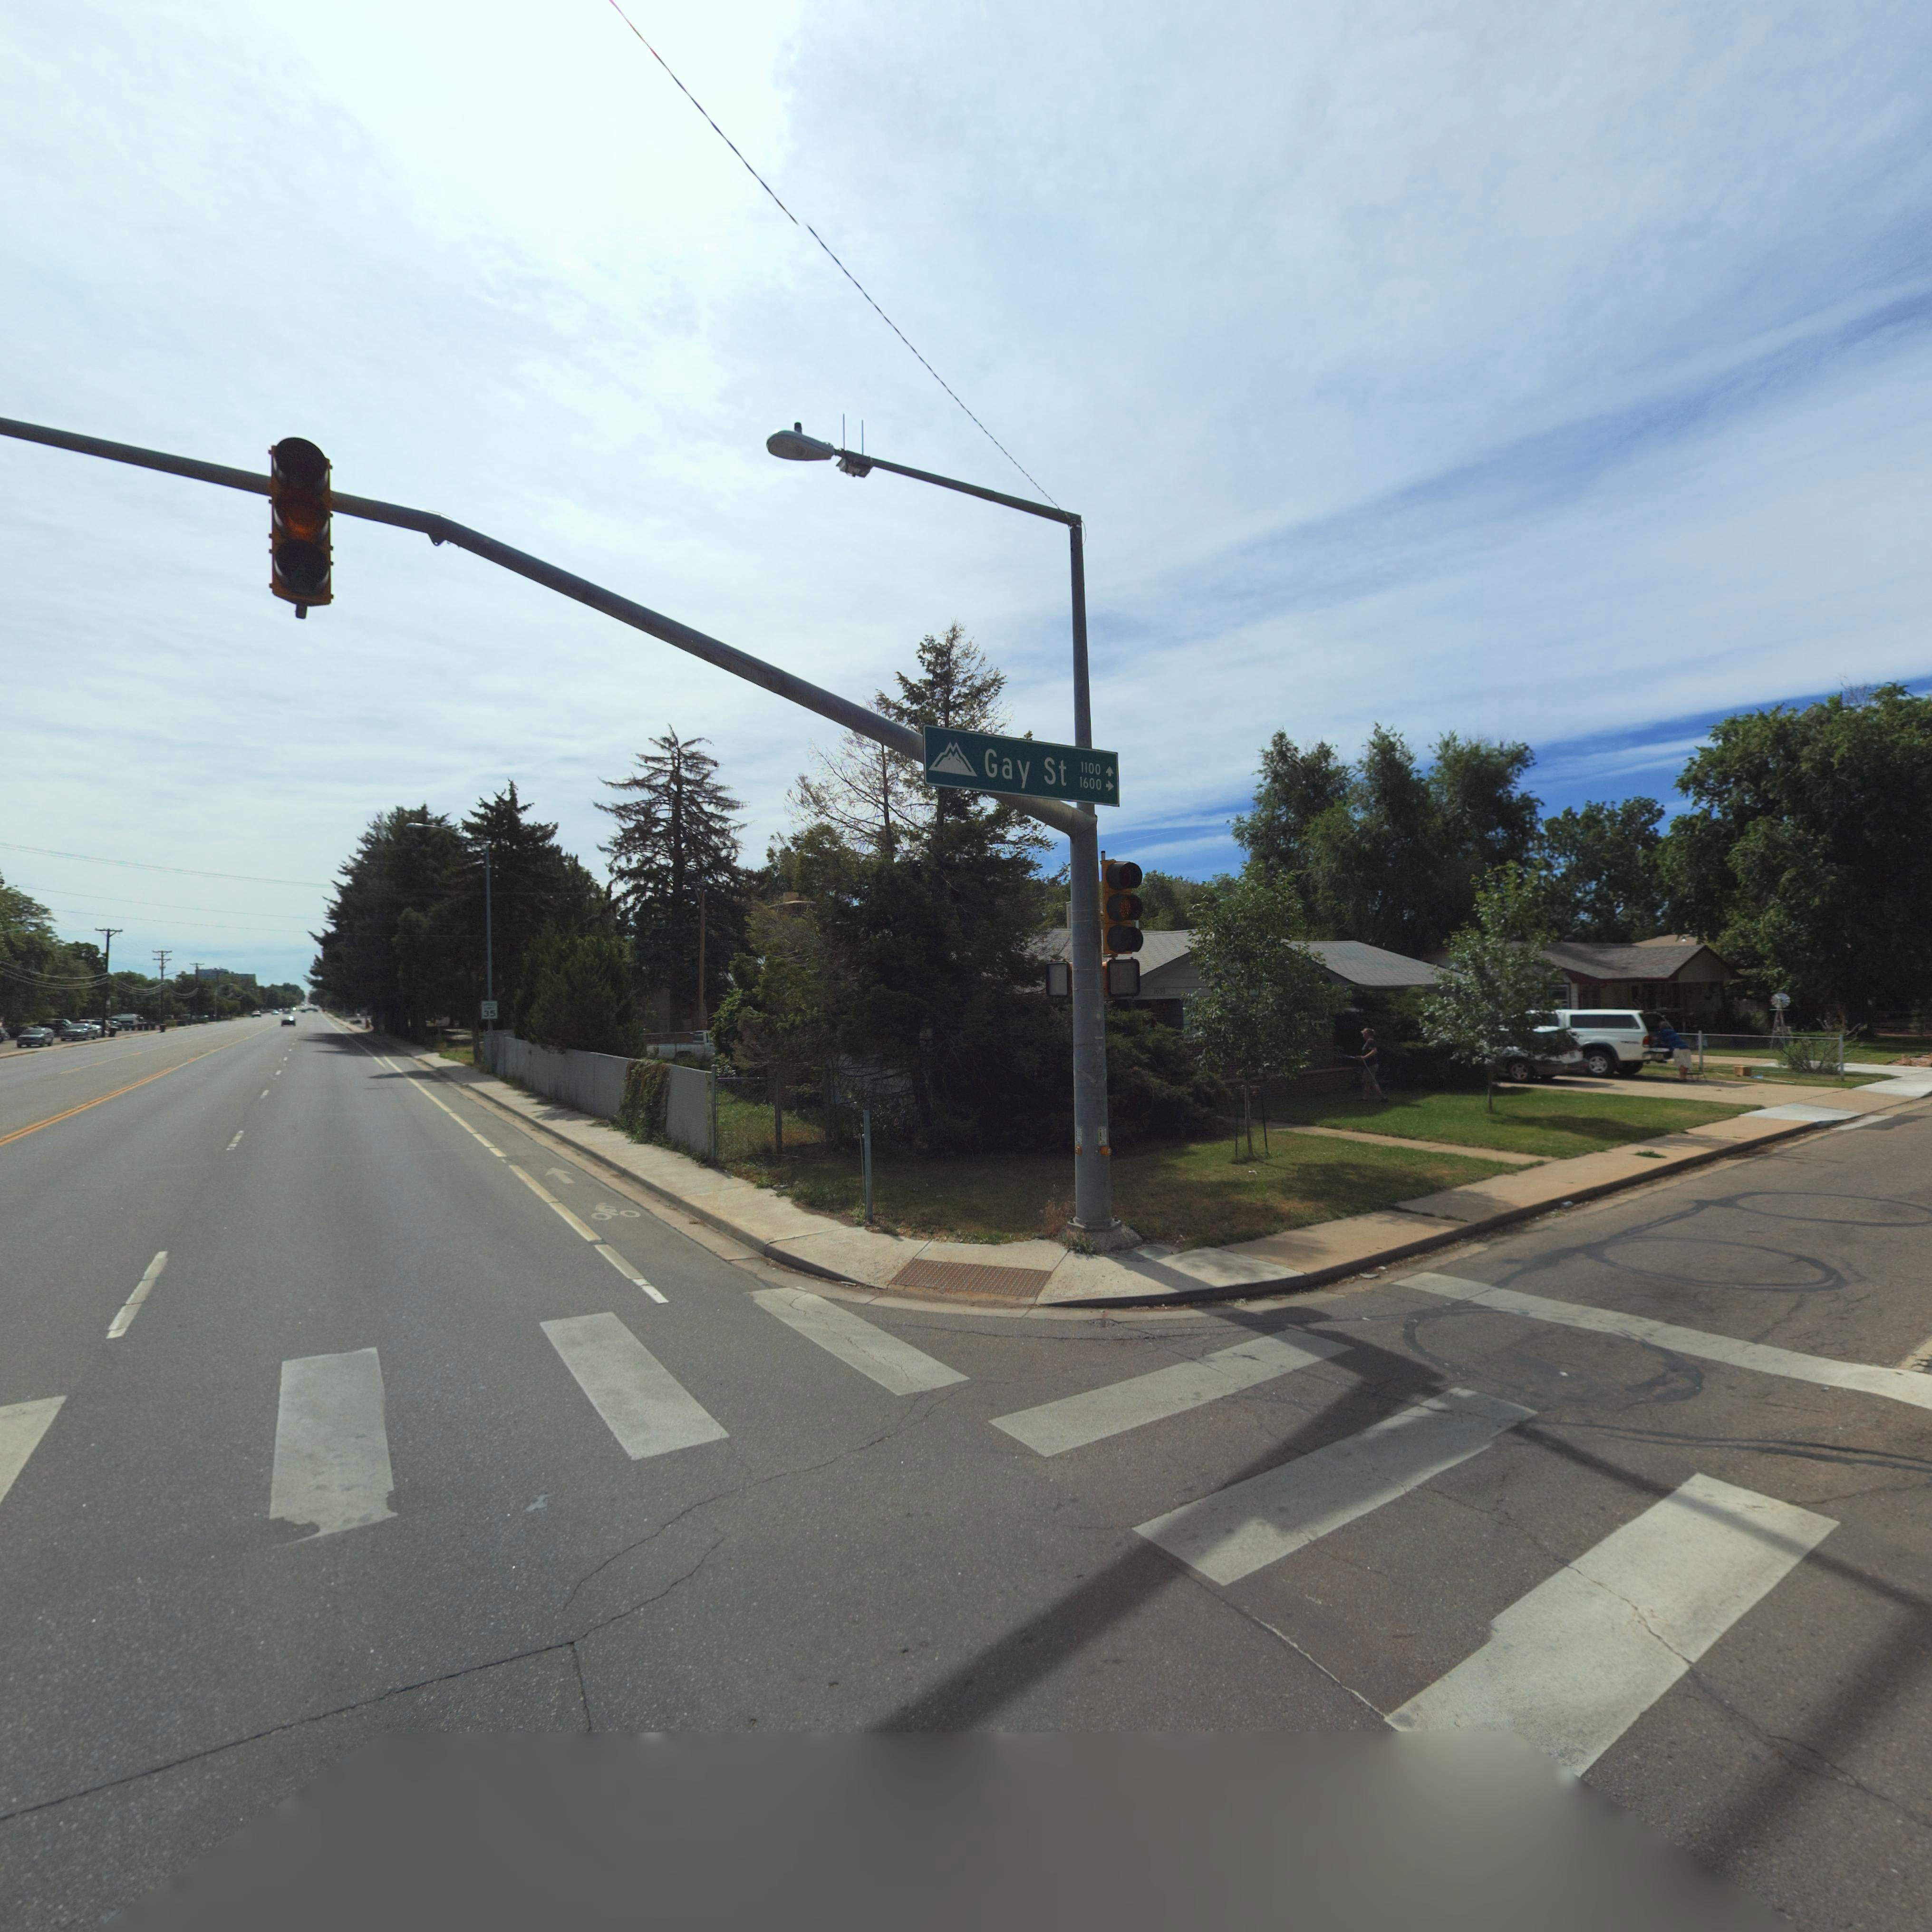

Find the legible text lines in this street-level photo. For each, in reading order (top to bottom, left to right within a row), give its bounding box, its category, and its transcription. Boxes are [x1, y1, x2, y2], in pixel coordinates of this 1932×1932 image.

[984, 748, 1067, 789] StreetName: Gay St
[1081, 761, 1101, 775] StreetNumberRange: 1100
[1079, 776, 1115, 792] StreetNumberRange: 1600->
[1153, 986, 1166, 995] StreetNumber: 1650